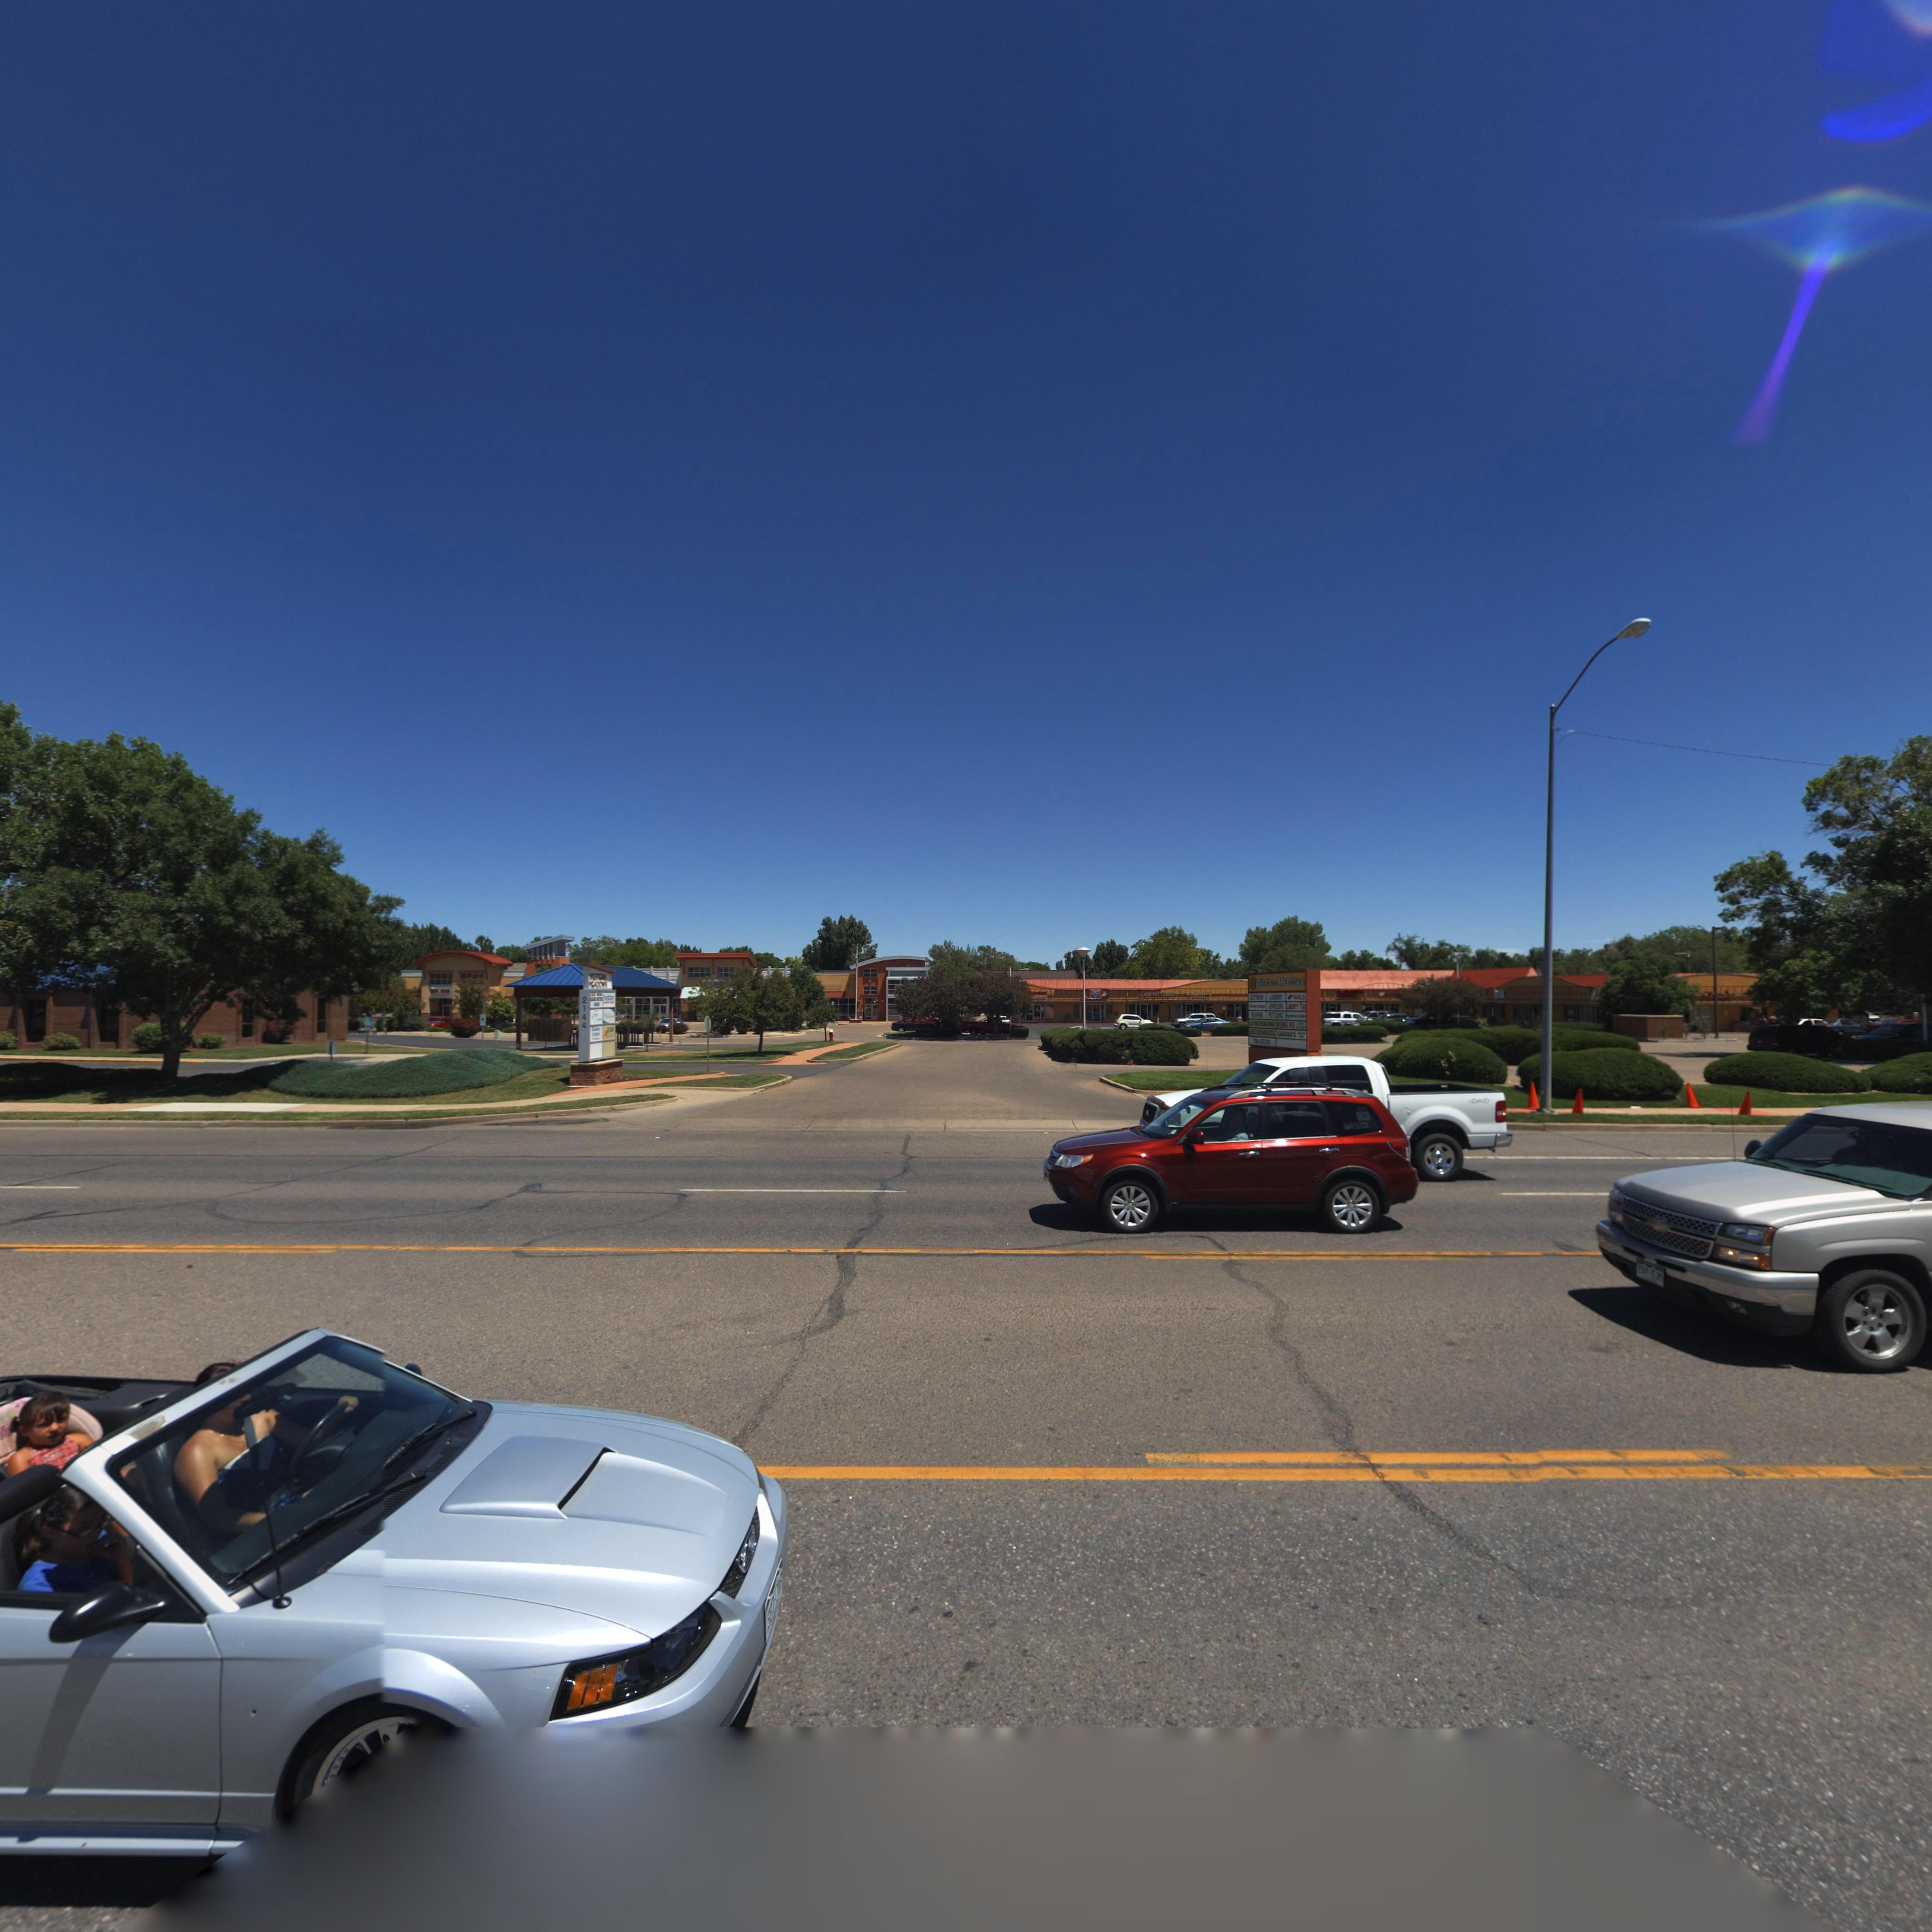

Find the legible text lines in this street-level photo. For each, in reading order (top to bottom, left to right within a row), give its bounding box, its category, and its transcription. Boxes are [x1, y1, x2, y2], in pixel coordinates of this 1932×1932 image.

[581, 996, 587, 1029] StreetNumber: 2144
[1285, 1003, 1306, 1009] BusinessName: LI*ERT* TA*